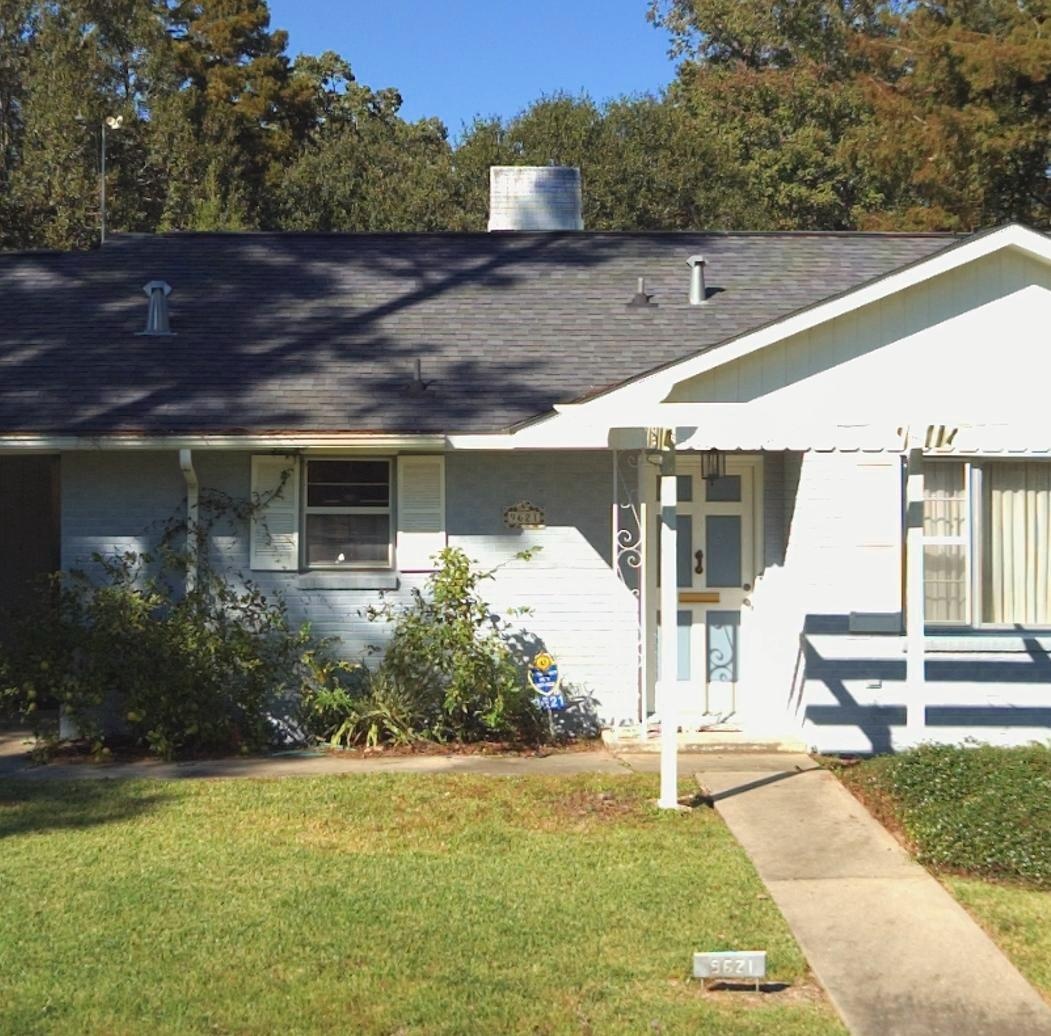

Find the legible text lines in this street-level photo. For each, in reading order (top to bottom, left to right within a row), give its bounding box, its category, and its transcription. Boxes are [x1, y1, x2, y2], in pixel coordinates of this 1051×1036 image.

[509, 512, 538, 523] StreetNumber: 9621
[529, 694, 565, 711] StreetNumber: 9*21
[709, 958, 757, 975] StreetNumber: 9621